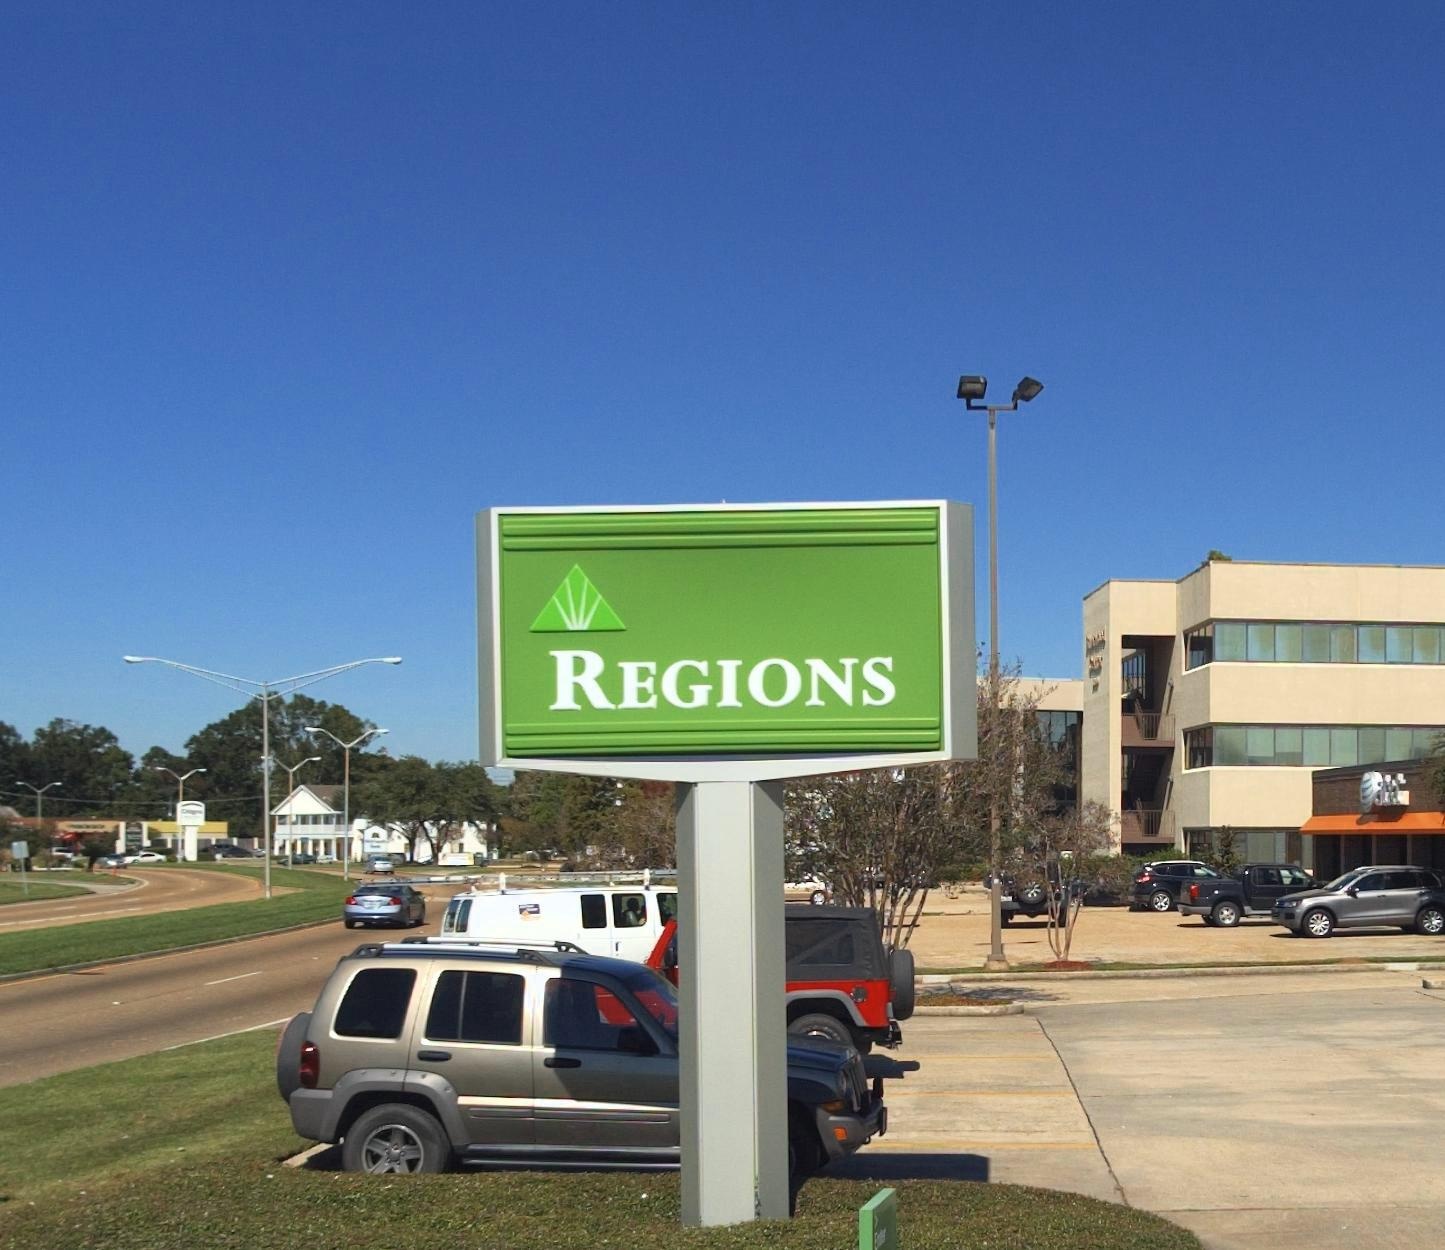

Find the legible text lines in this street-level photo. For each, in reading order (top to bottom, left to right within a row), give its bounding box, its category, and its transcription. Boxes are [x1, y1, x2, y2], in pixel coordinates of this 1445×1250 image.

[546, 646, 899, 714] BusinessName: REGIONS